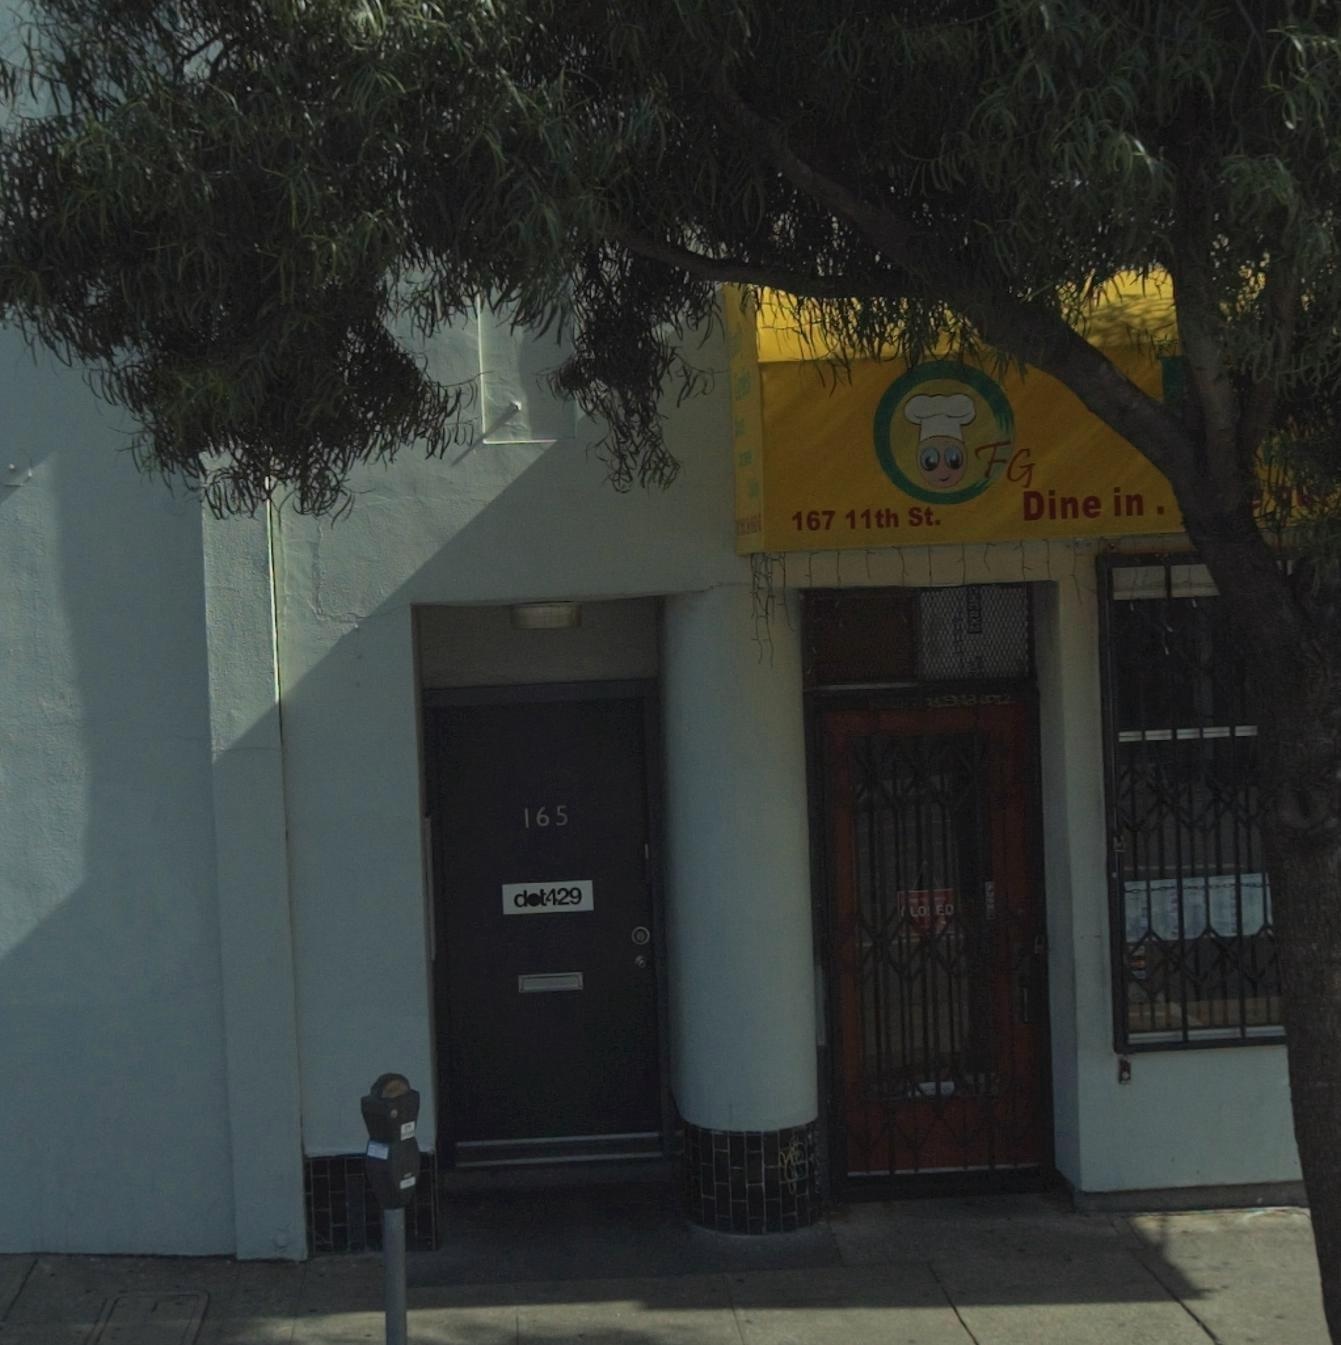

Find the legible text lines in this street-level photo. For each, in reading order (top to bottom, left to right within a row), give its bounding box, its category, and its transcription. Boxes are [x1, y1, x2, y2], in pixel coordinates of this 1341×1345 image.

[969, 430, 1039, 497] BusinessName: FG
[788, 506, 839, 535] StreetNumber: 167
[843, 497, 948, 535] StreetName: 11th St.
[1018, 481, 1177, 525] BusinessName: Dine in .
[522, 798, 571, 834] StreetNumber: 165
[508, 884, 585, 912] BusinessName: dot429
[917, 904, 929, 918] None: O
[933, 901, 956, 918] None: ED
[985, 880, 994, 899] None: PU